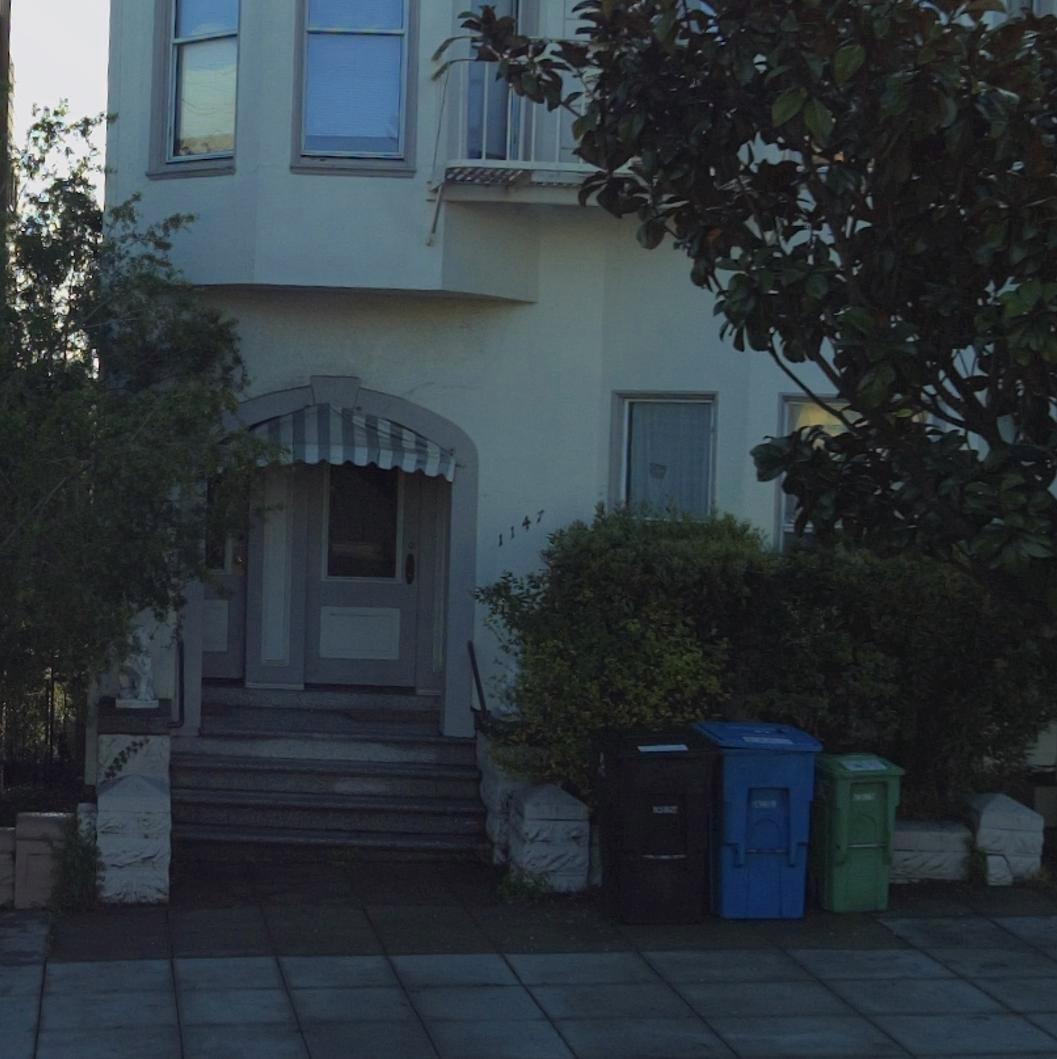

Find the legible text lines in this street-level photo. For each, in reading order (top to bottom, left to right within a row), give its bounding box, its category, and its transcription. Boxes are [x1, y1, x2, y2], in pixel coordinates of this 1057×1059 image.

[494, 503, 548, 549] StreetNumber: 1147